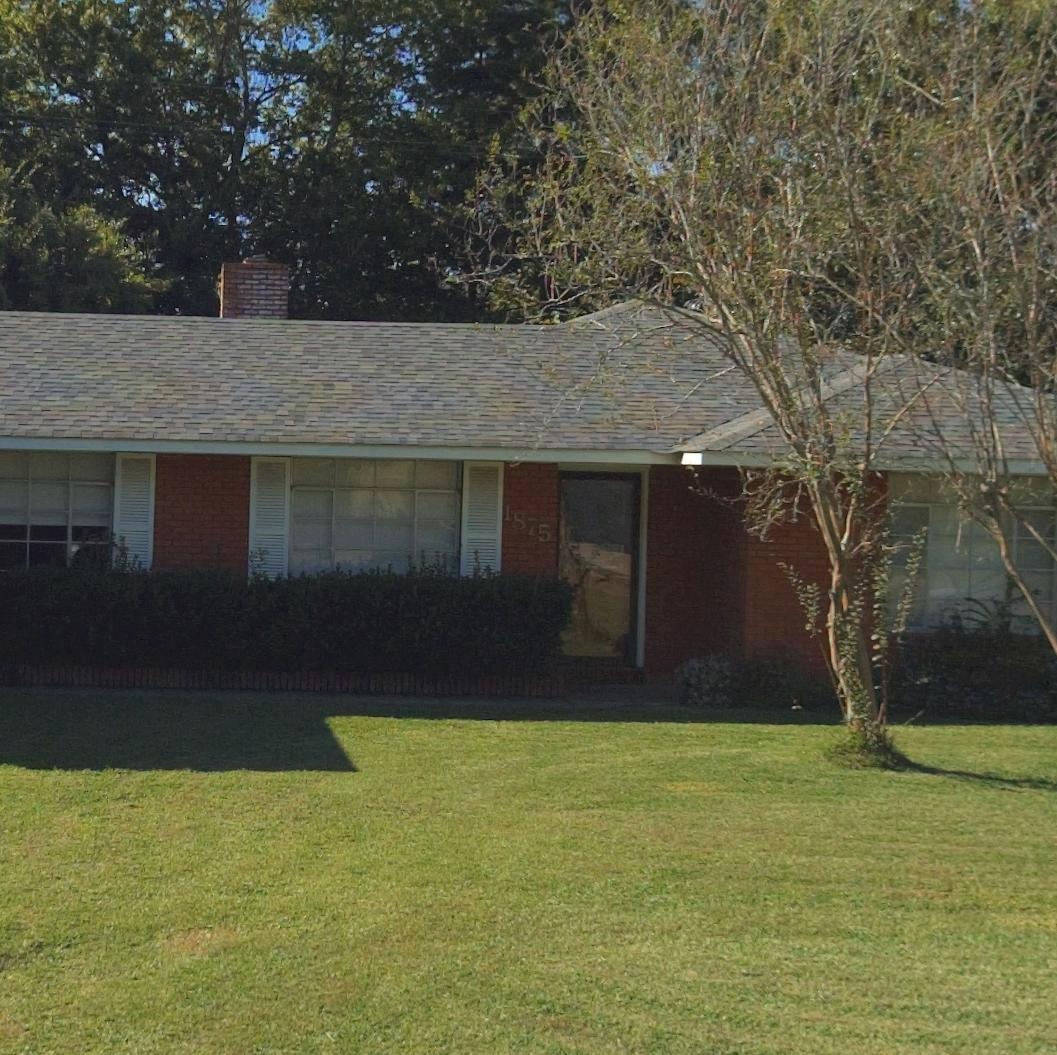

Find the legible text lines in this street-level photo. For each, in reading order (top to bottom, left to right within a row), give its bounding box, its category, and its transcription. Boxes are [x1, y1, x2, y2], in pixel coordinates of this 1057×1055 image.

[503, 503, 553, 548] StreetNumber: 1875